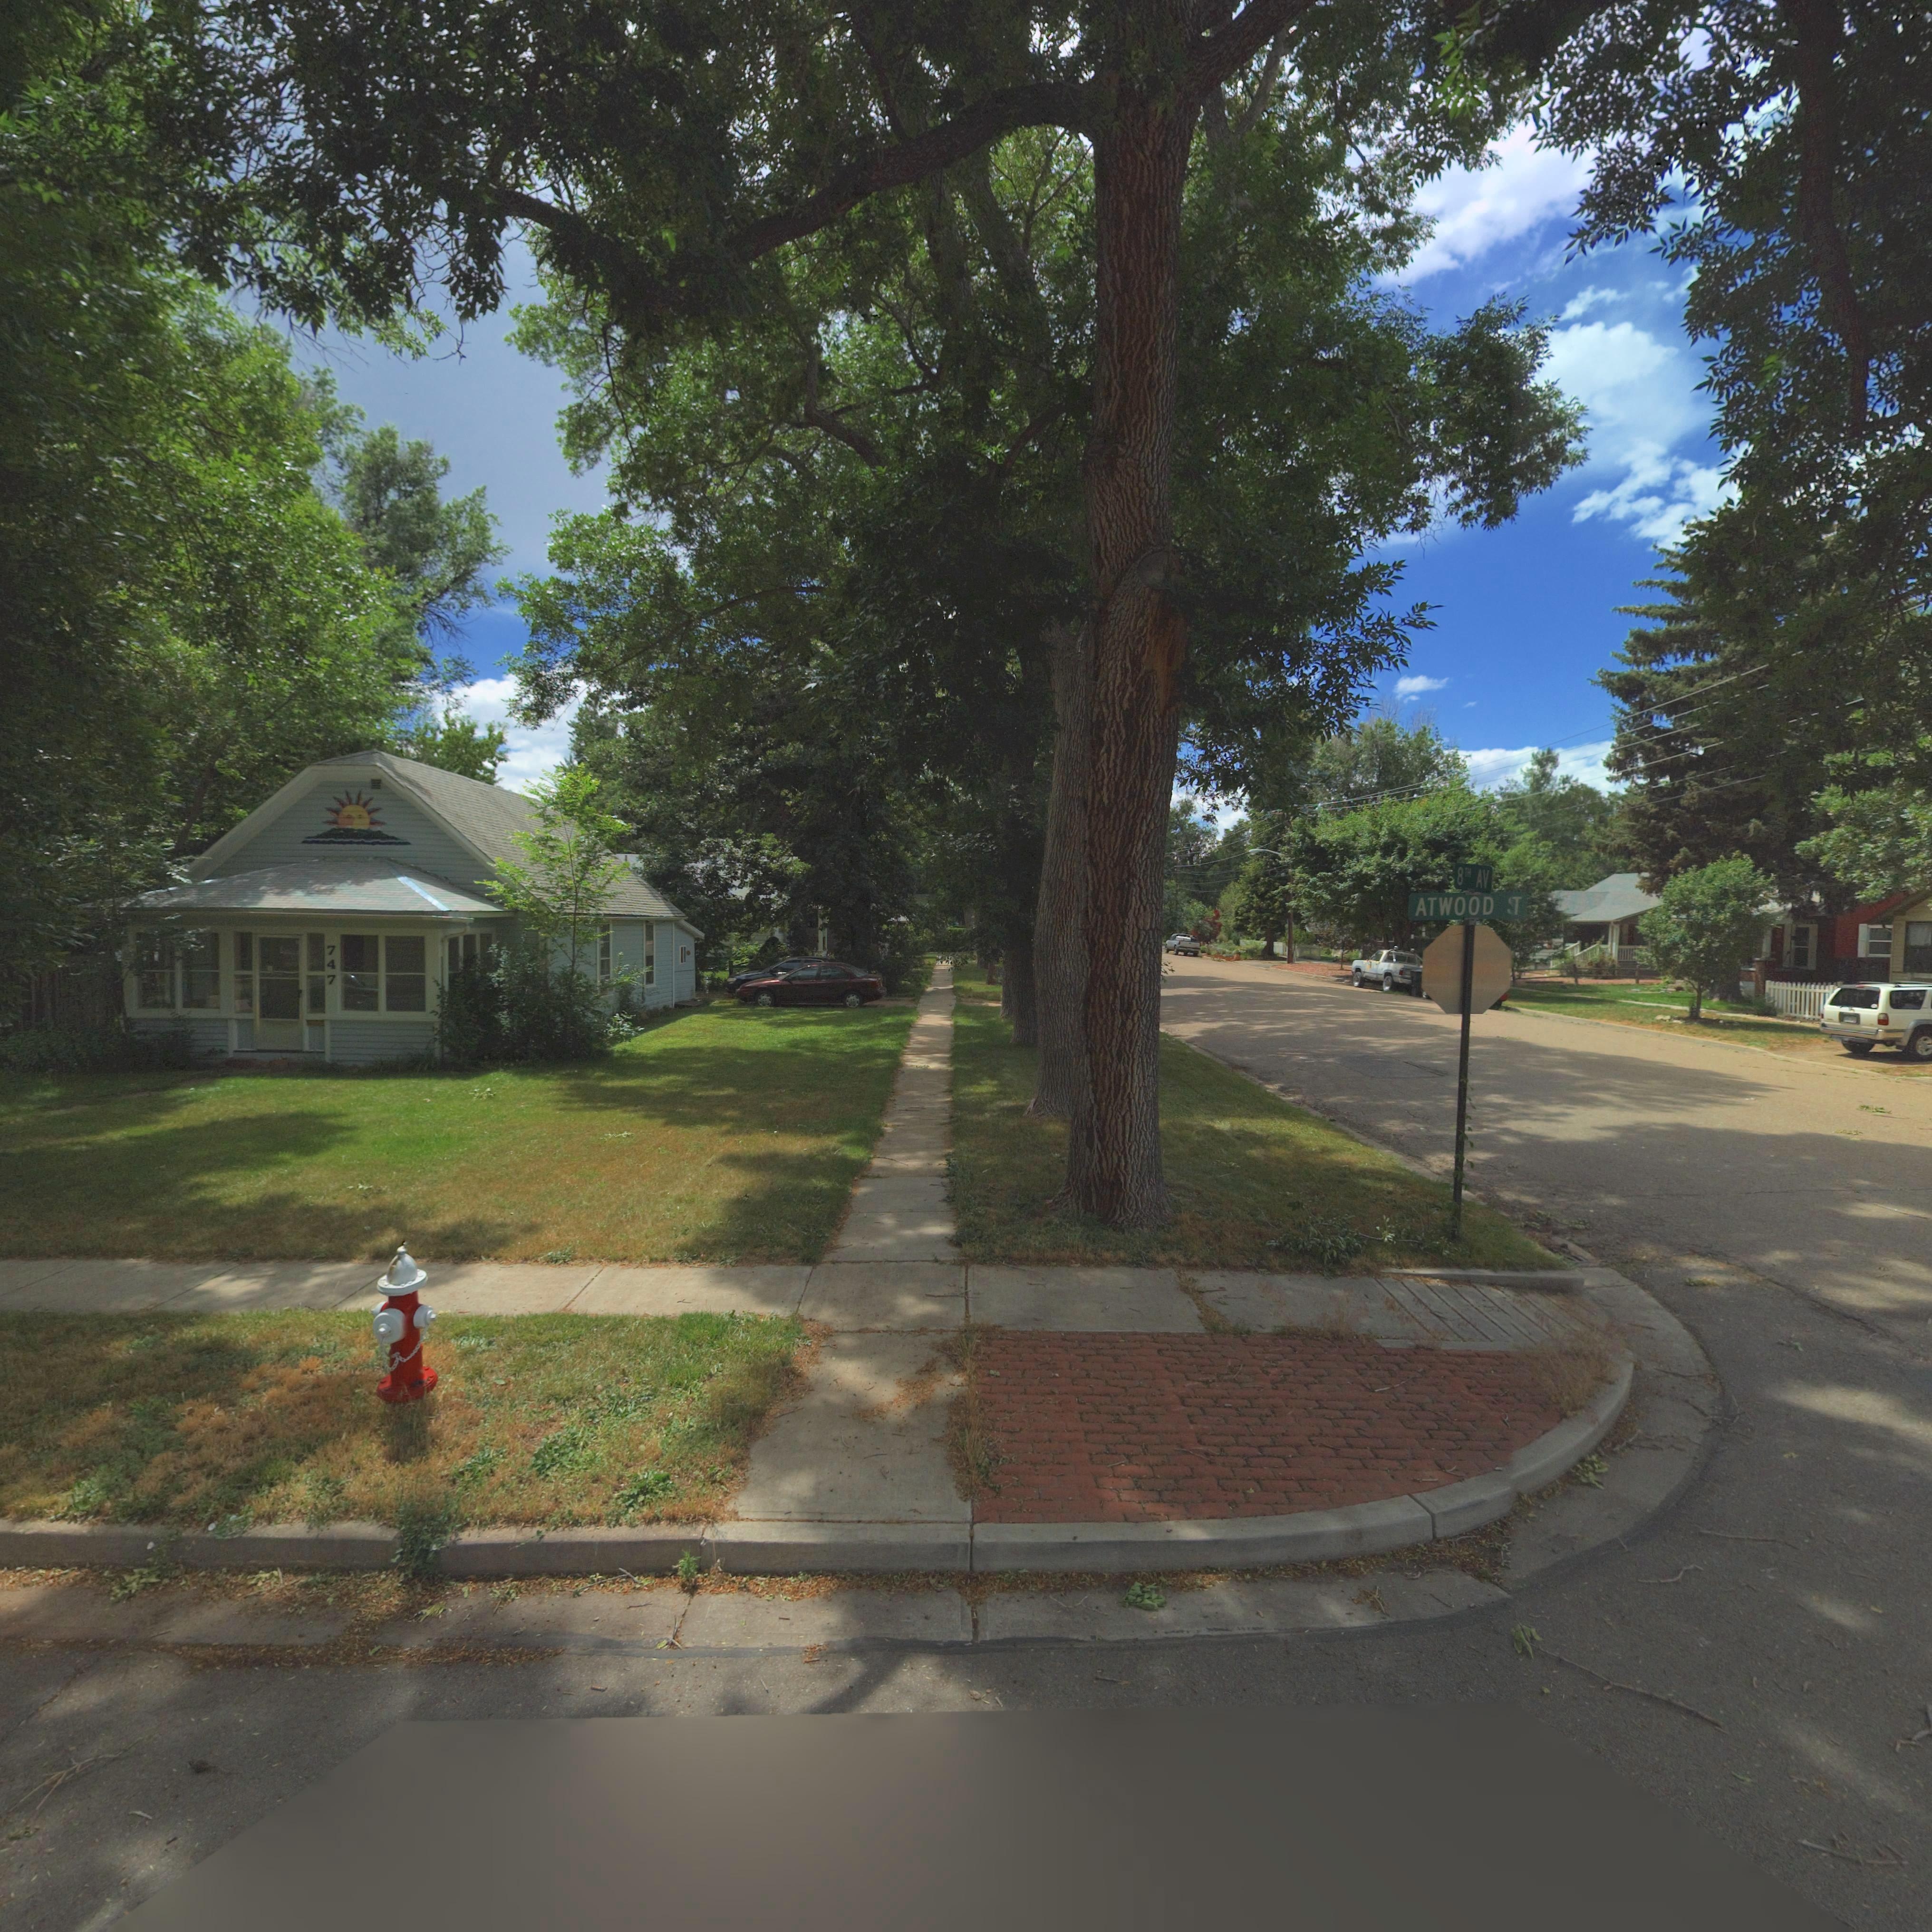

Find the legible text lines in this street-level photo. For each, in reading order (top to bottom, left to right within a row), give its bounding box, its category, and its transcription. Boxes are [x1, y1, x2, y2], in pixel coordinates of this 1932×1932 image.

[1455, 866, 1490, 889] StreetName: 8TH AV
[1415, 896, 1521, 916] StreetName: ATWOOD *
[326, 945, 336, 985] StreetNumber: 747